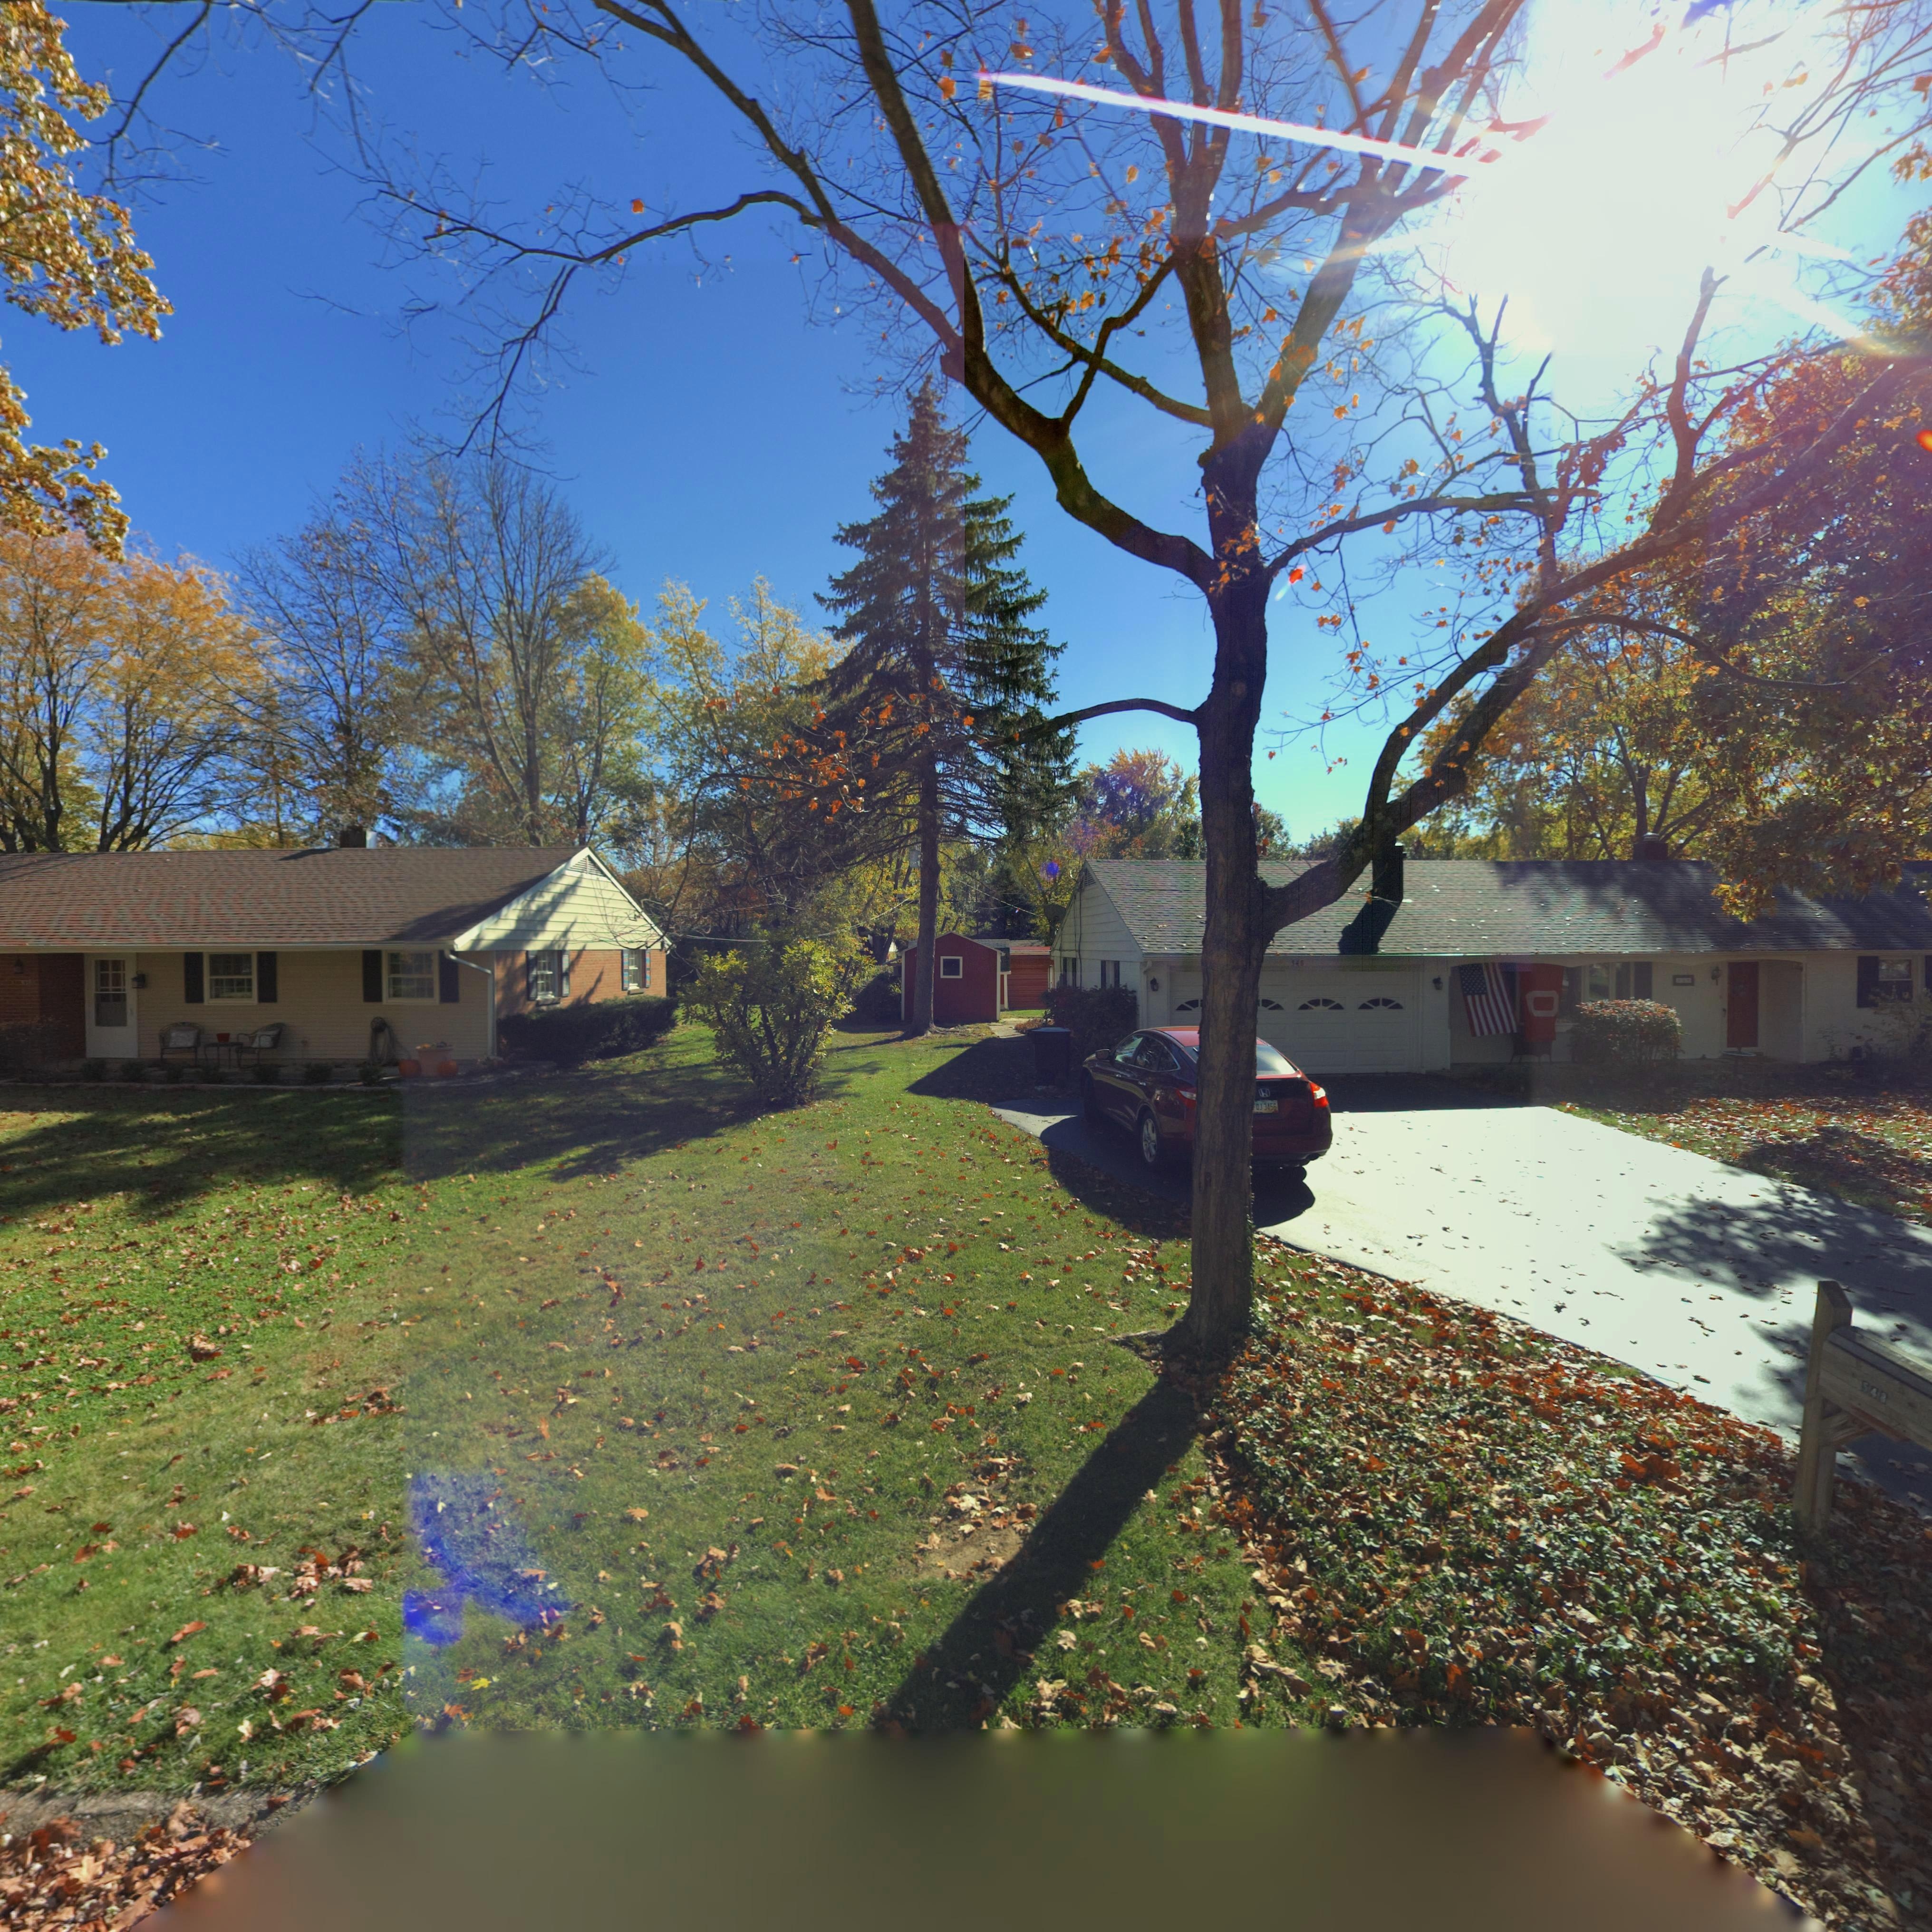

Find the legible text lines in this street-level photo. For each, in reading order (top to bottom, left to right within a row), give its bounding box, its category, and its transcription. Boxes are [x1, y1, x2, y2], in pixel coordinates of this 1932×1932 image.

[1290, 960, 1304, 966] StreetNumber: 548
[1255, 1102, 1277, 1111] None: OJ*3456
[1861, 1380, 1888, 1405] StreetNumber: 548